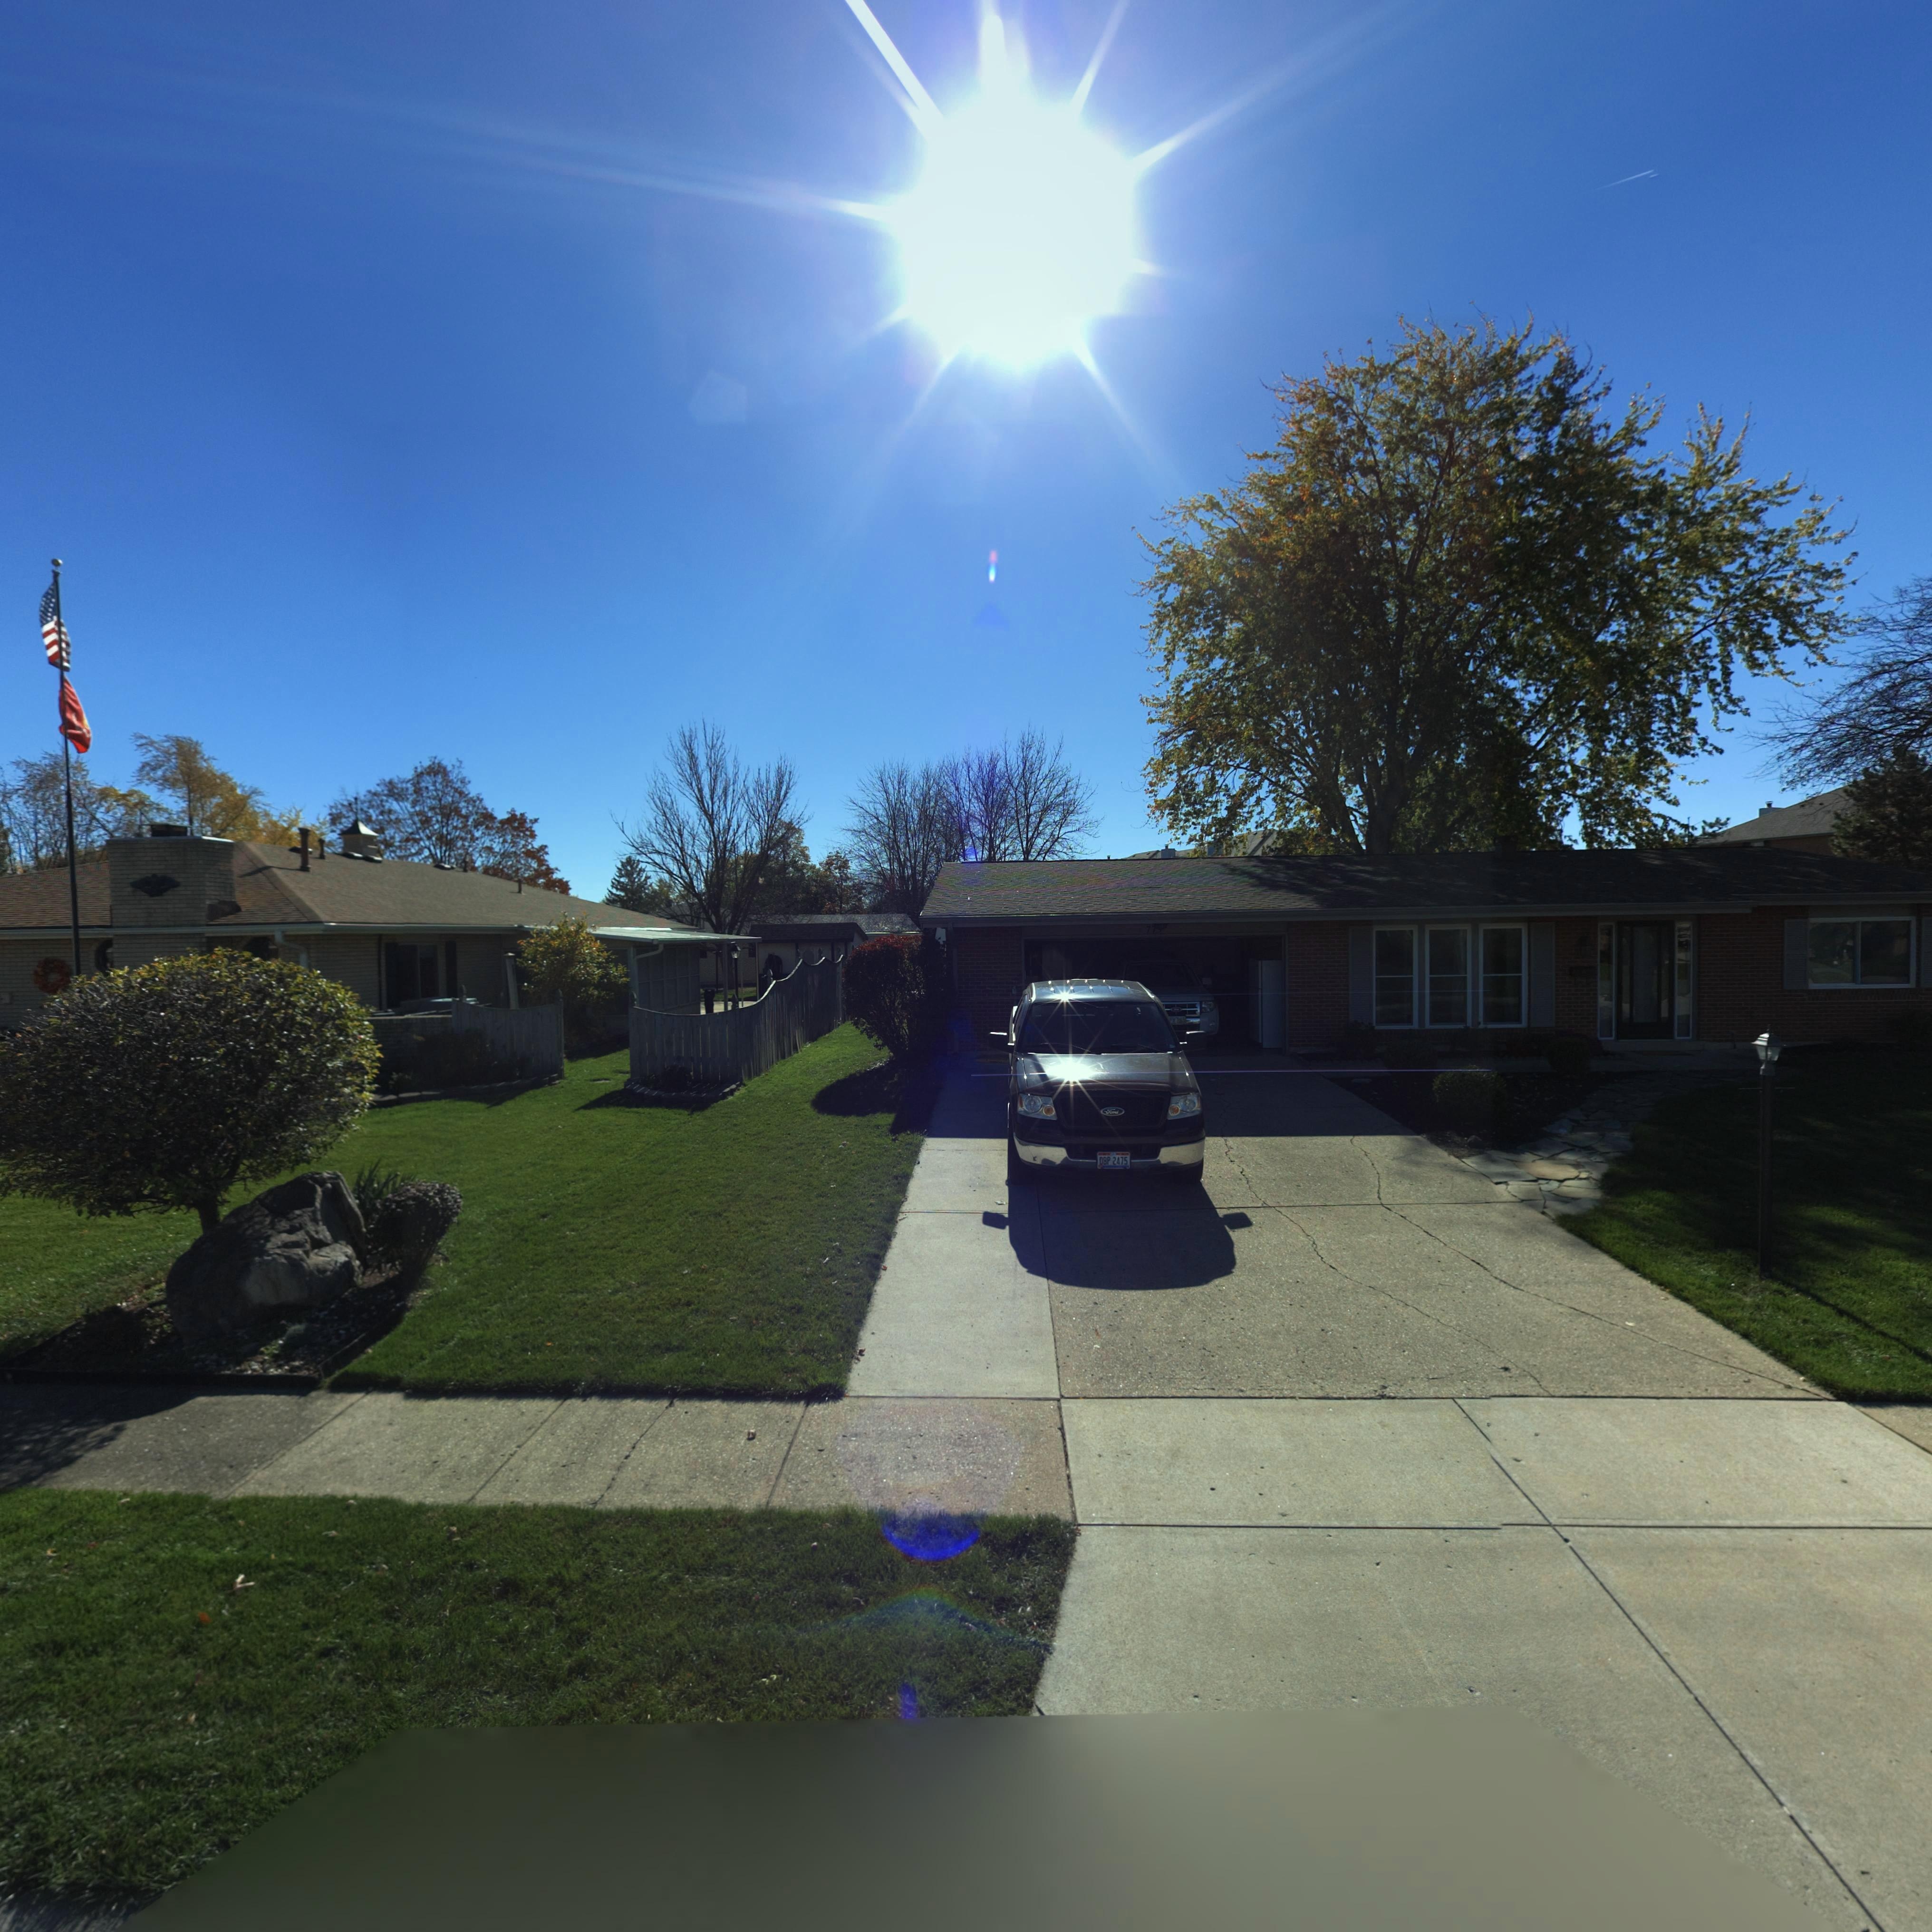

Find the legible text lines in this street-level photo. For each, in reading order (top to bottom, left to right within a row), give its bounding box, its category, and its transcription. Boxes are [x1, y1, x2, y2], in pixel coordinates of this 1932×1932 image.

[1146, 925, 1157, 933] StreetNumber: 77